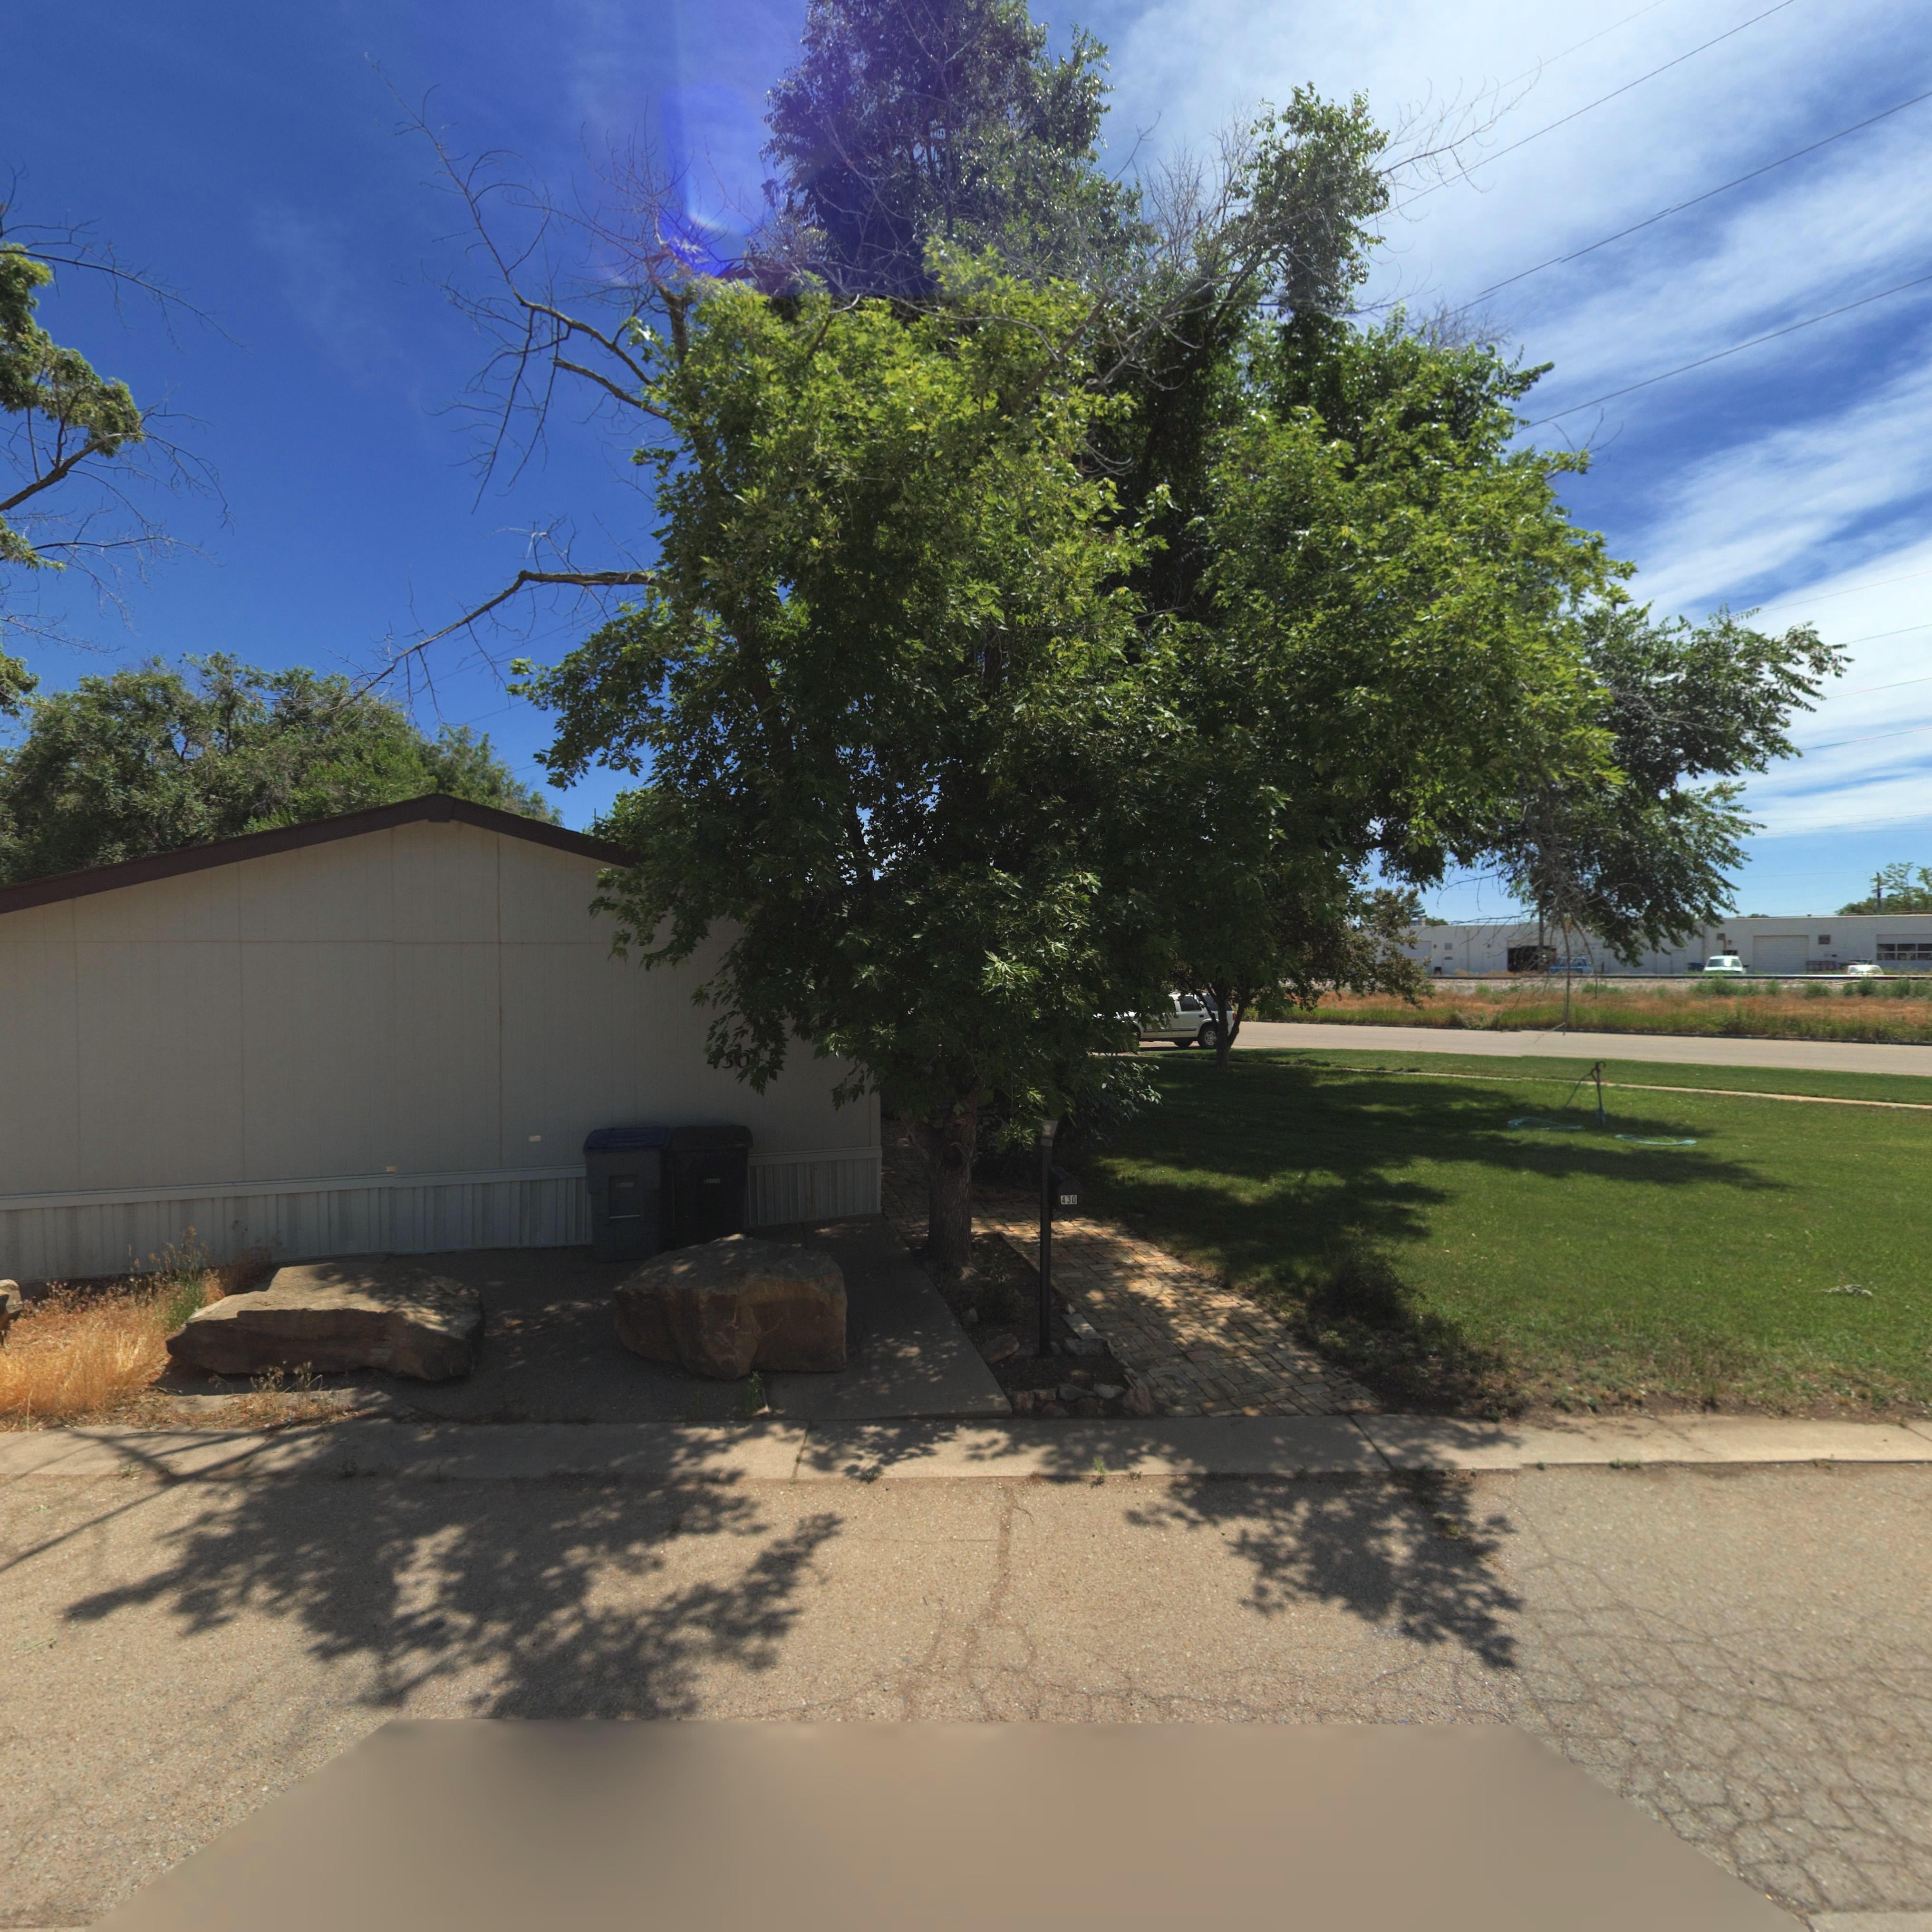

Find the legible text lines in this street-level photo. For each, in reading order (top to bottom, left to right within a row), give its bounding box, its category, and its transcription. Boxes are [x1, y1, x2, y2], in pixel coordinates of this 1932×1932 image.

[1061, 1195, 1076, 1204] StreetNumber: 430